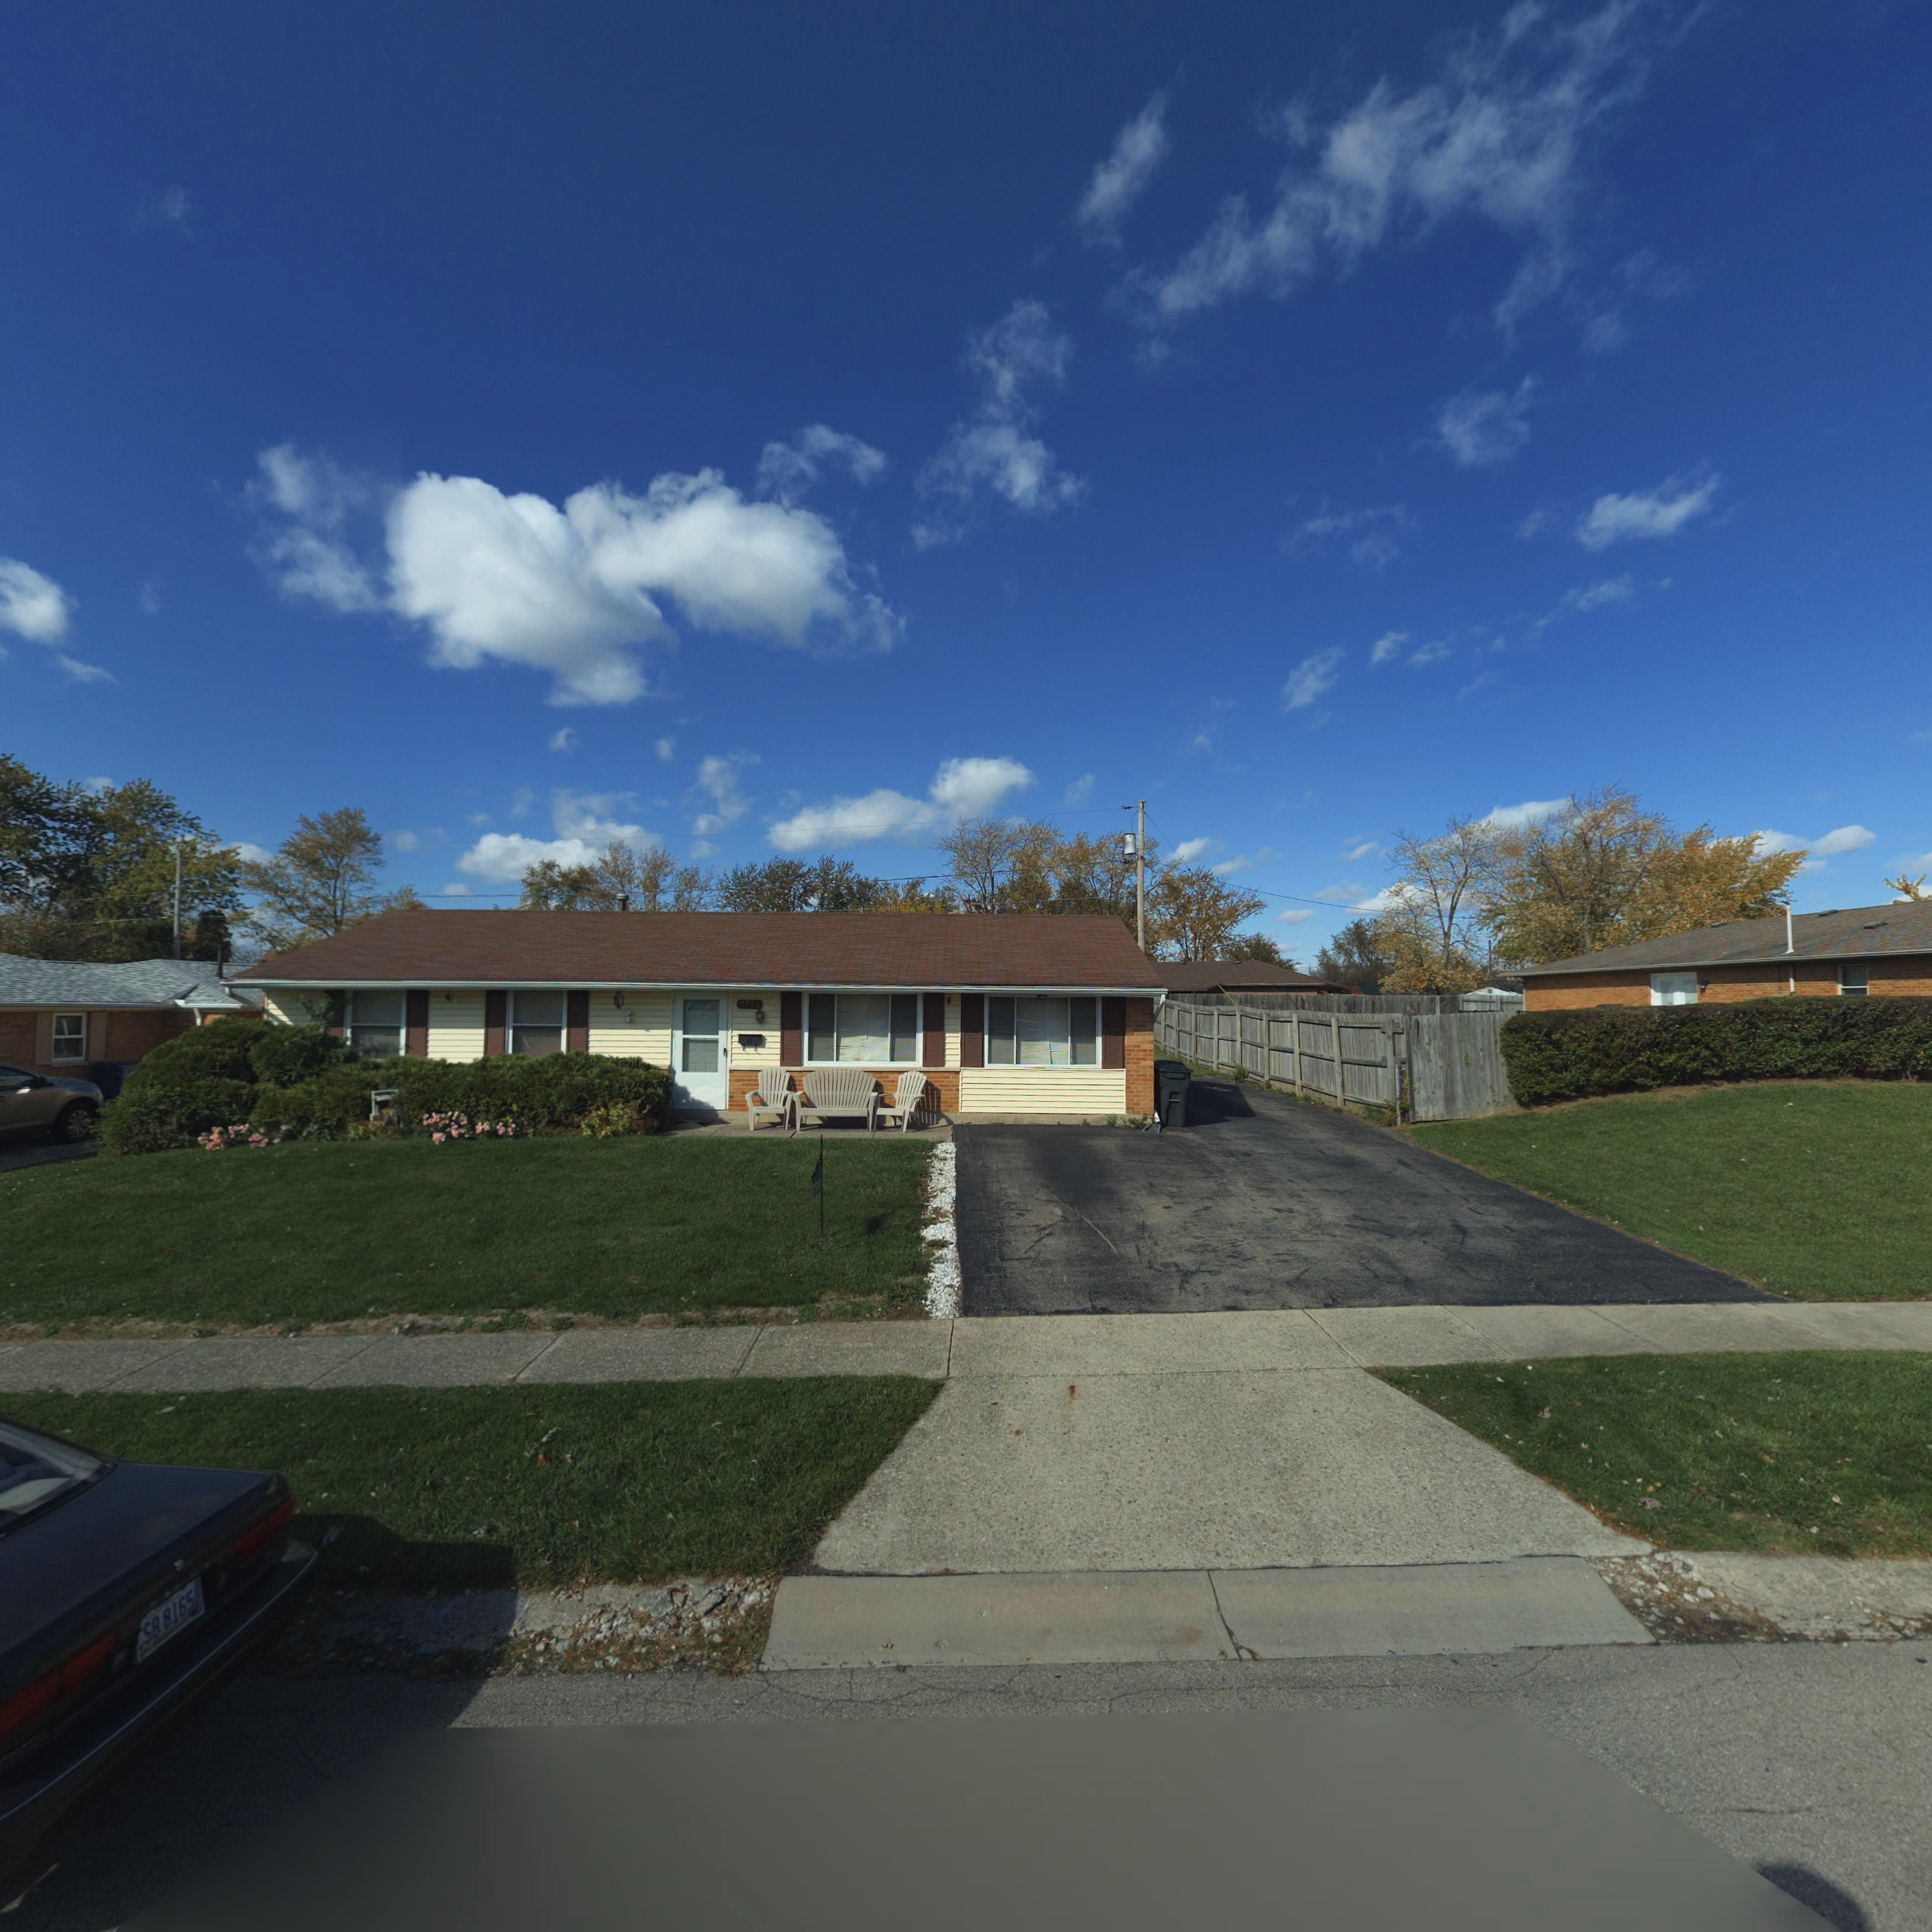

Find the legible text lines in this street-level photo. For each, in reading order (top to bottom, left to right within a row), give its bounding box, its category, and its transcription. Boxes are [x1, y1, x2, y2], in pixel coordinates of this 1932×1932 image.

[739, 1000, 760, 1008] StreetNumber: 7*31
[812, 1177, 822, 1197] StreetNumber: 7731